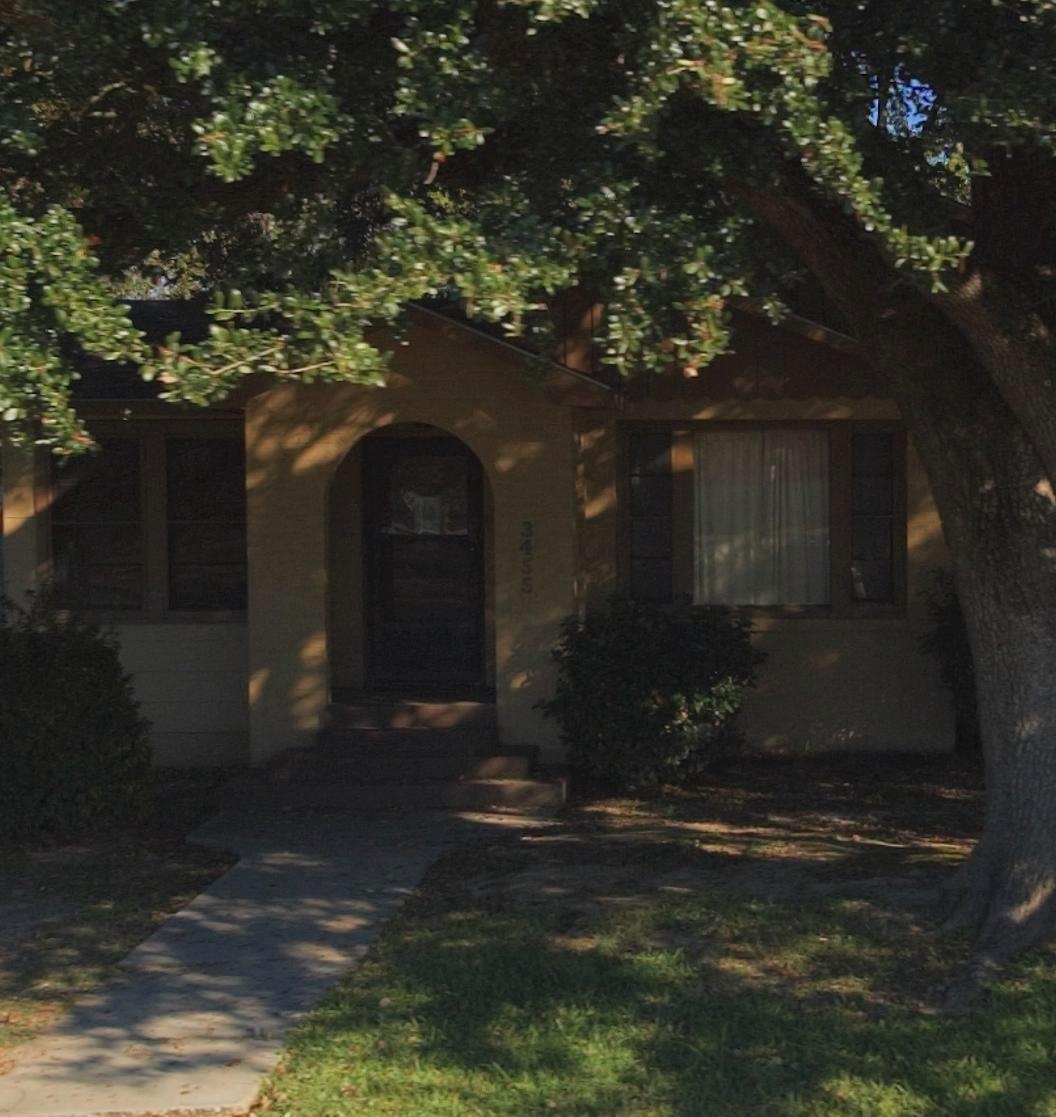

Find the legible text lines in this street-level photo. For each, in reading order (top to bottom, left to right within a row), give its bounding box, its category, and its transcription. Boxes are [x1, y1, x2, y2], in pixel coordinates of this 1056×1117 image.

[518, 518, 536, 596] StreetNumber: 3455